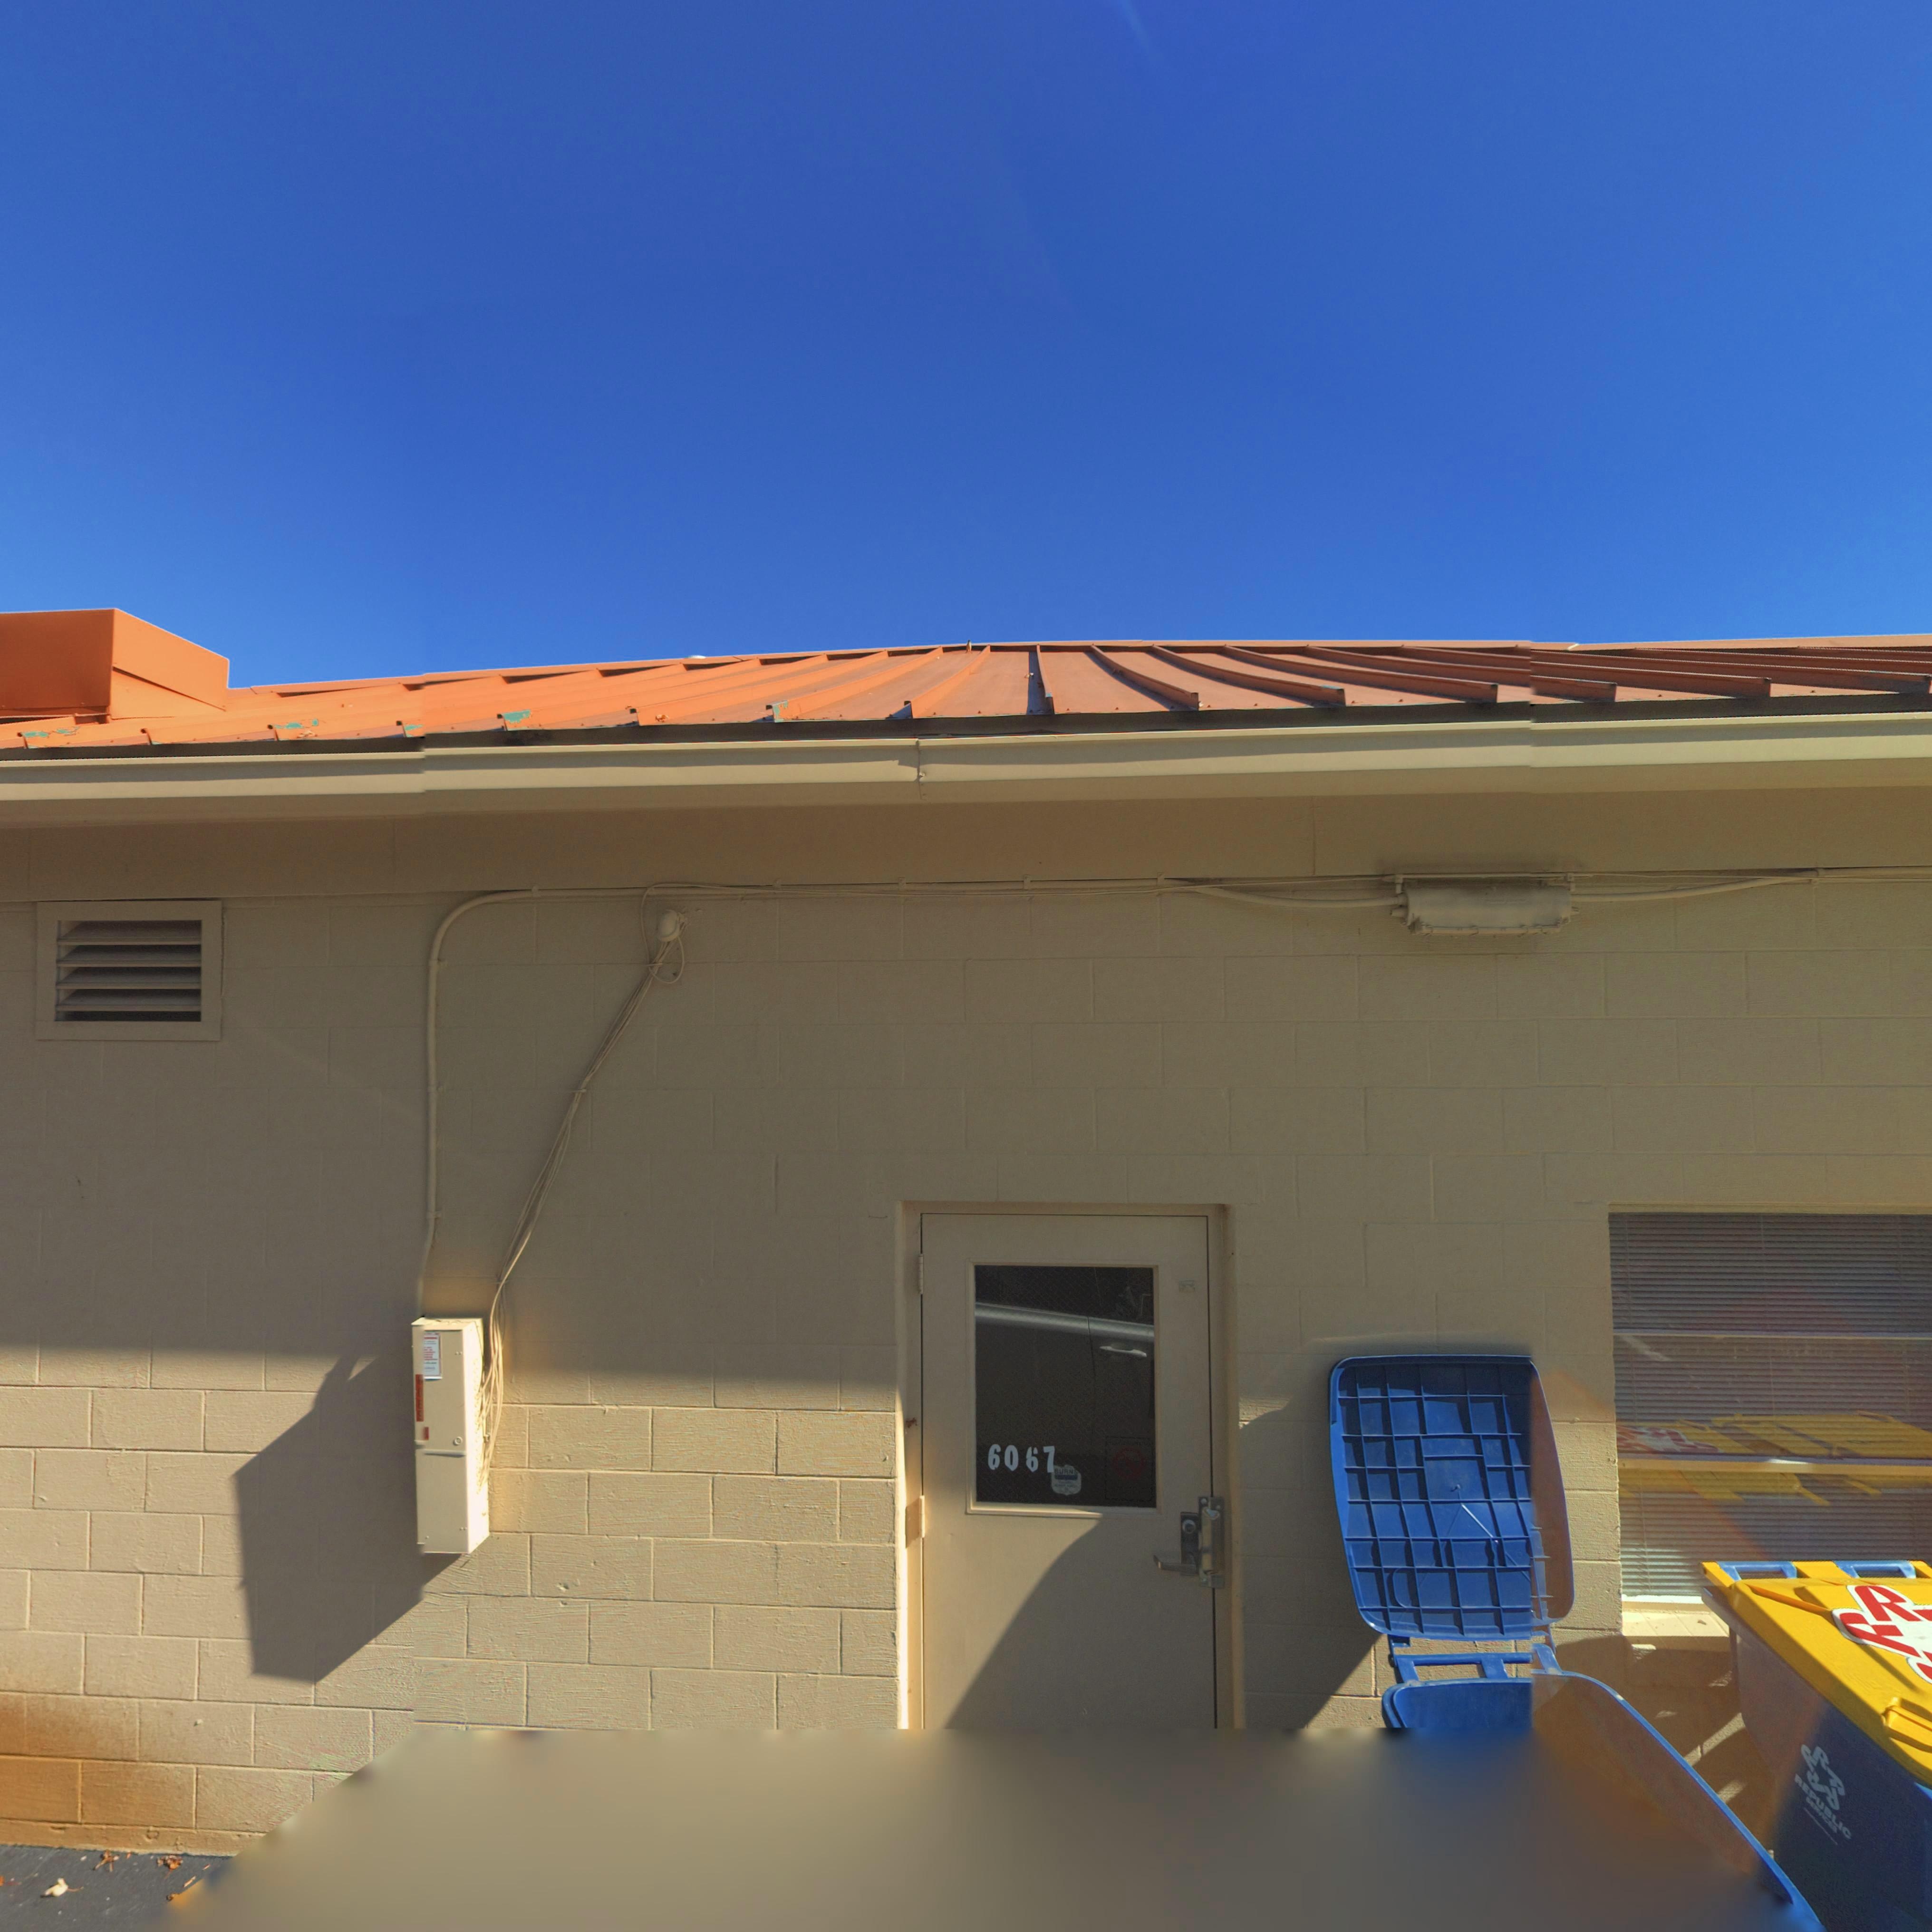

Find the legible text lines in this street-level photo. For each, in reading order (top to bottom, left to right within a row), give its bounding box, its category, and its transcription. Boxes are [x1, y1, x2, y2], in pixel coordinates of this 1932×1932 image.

[986, 1442, 1056, 1476] StreetNumber: 6067